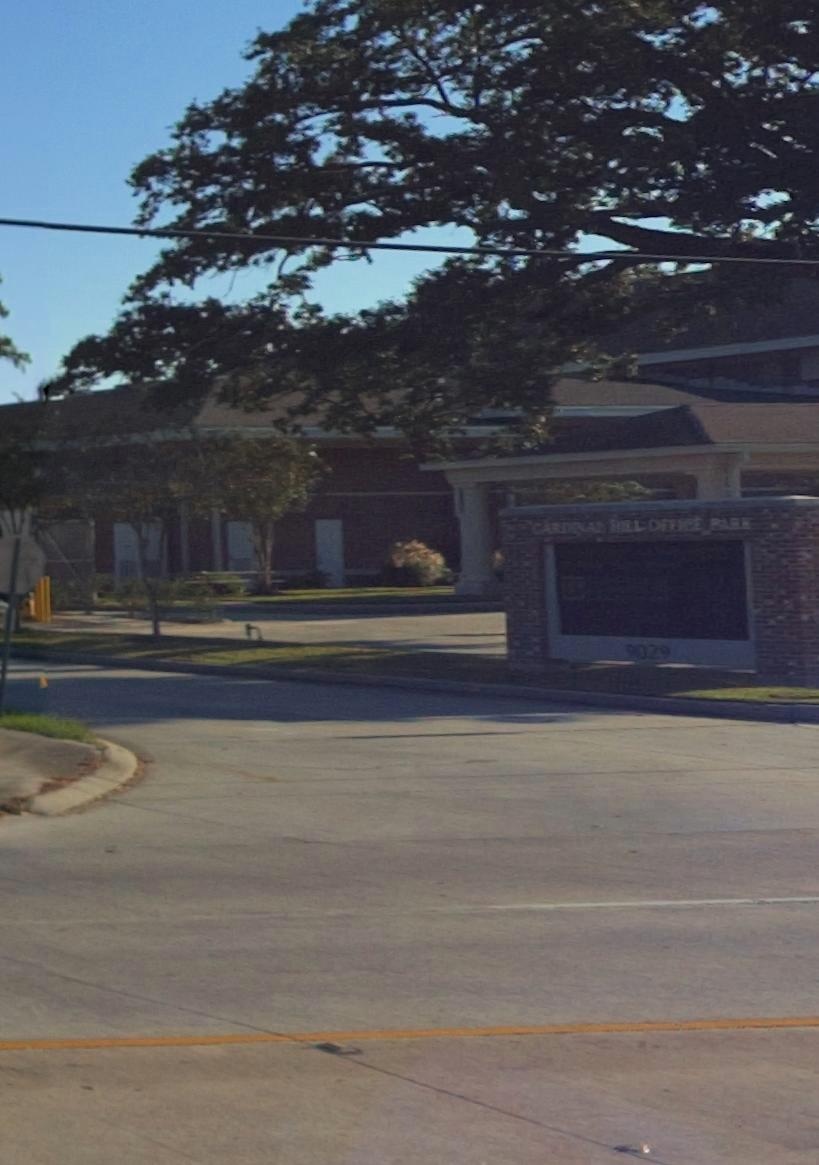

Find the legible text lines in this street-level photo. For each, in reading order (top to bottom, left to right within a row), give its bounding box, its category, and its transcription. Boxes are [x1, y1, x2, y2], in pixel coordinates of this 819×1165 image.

[530, 514, 754, 538] BusinessName: CARDINAL HILL OFFICE PARK
[621, 641, 674, 662] StreetNumber: 9029